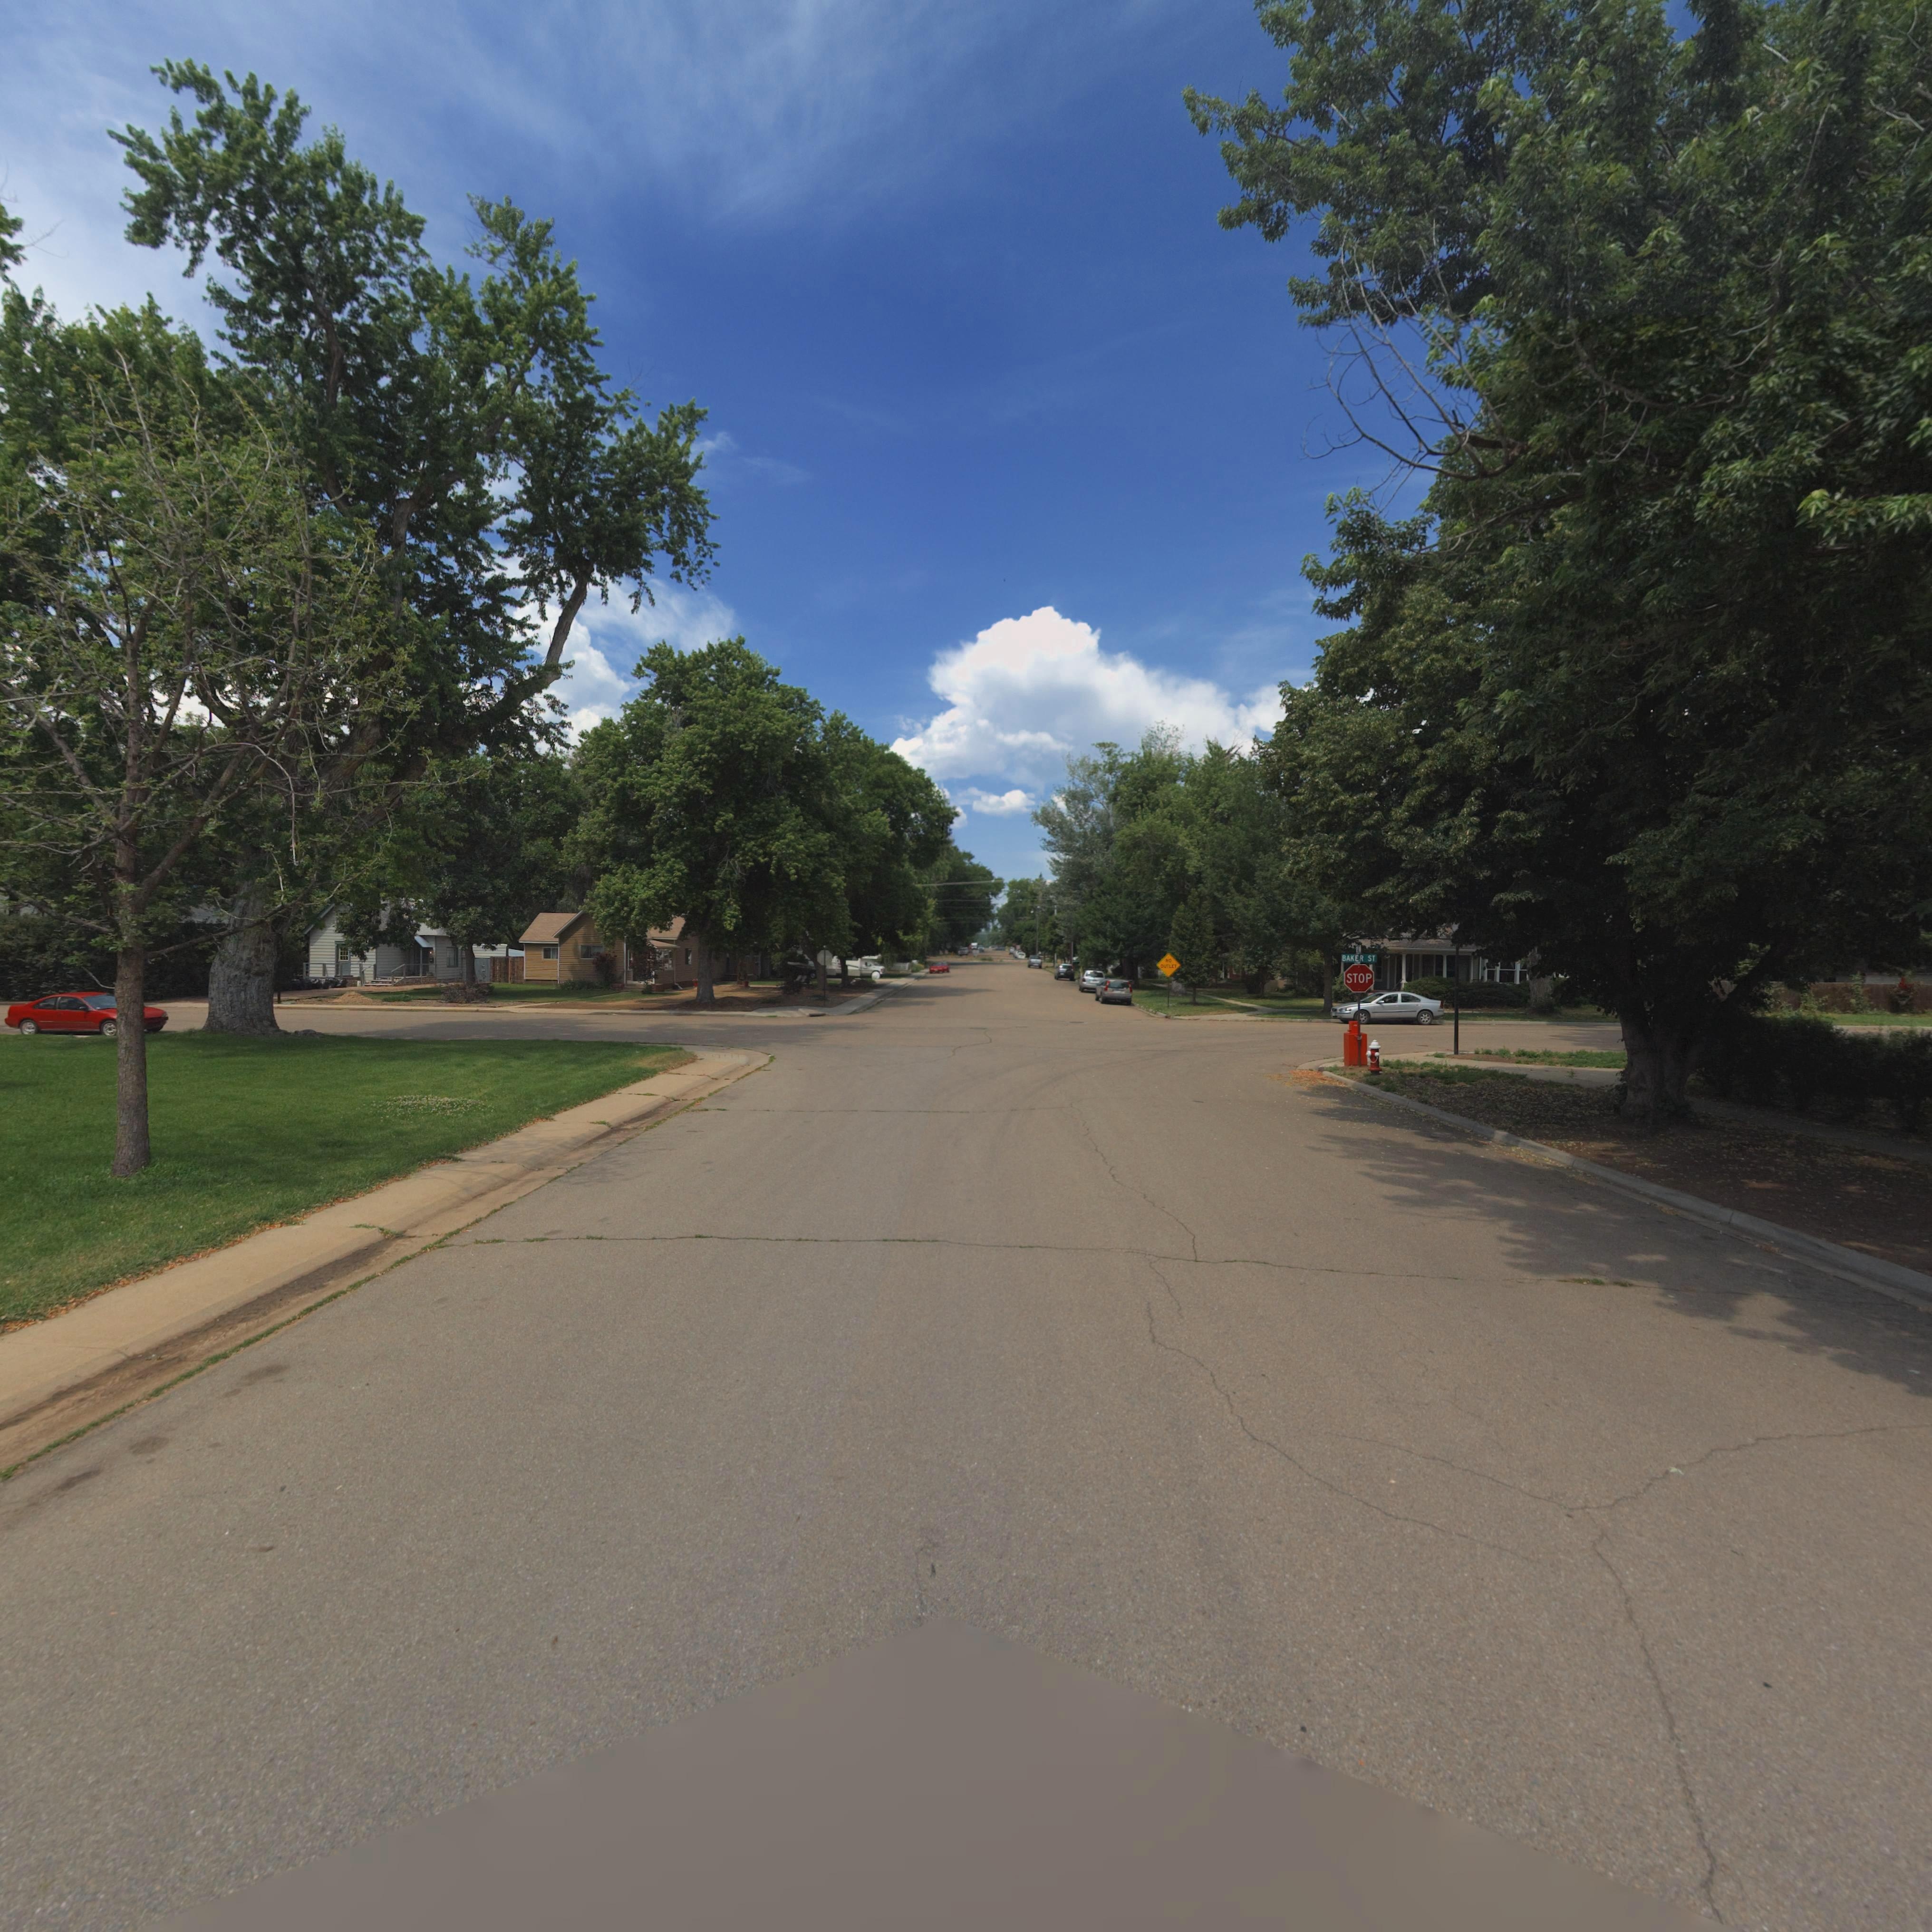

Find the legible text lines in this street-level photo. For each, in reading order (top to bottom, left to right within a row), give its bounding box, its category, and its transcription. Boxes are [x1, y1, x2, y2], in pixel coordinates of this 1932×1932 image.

[1342, 955, 1375, 962] StreetName: BAKER ST